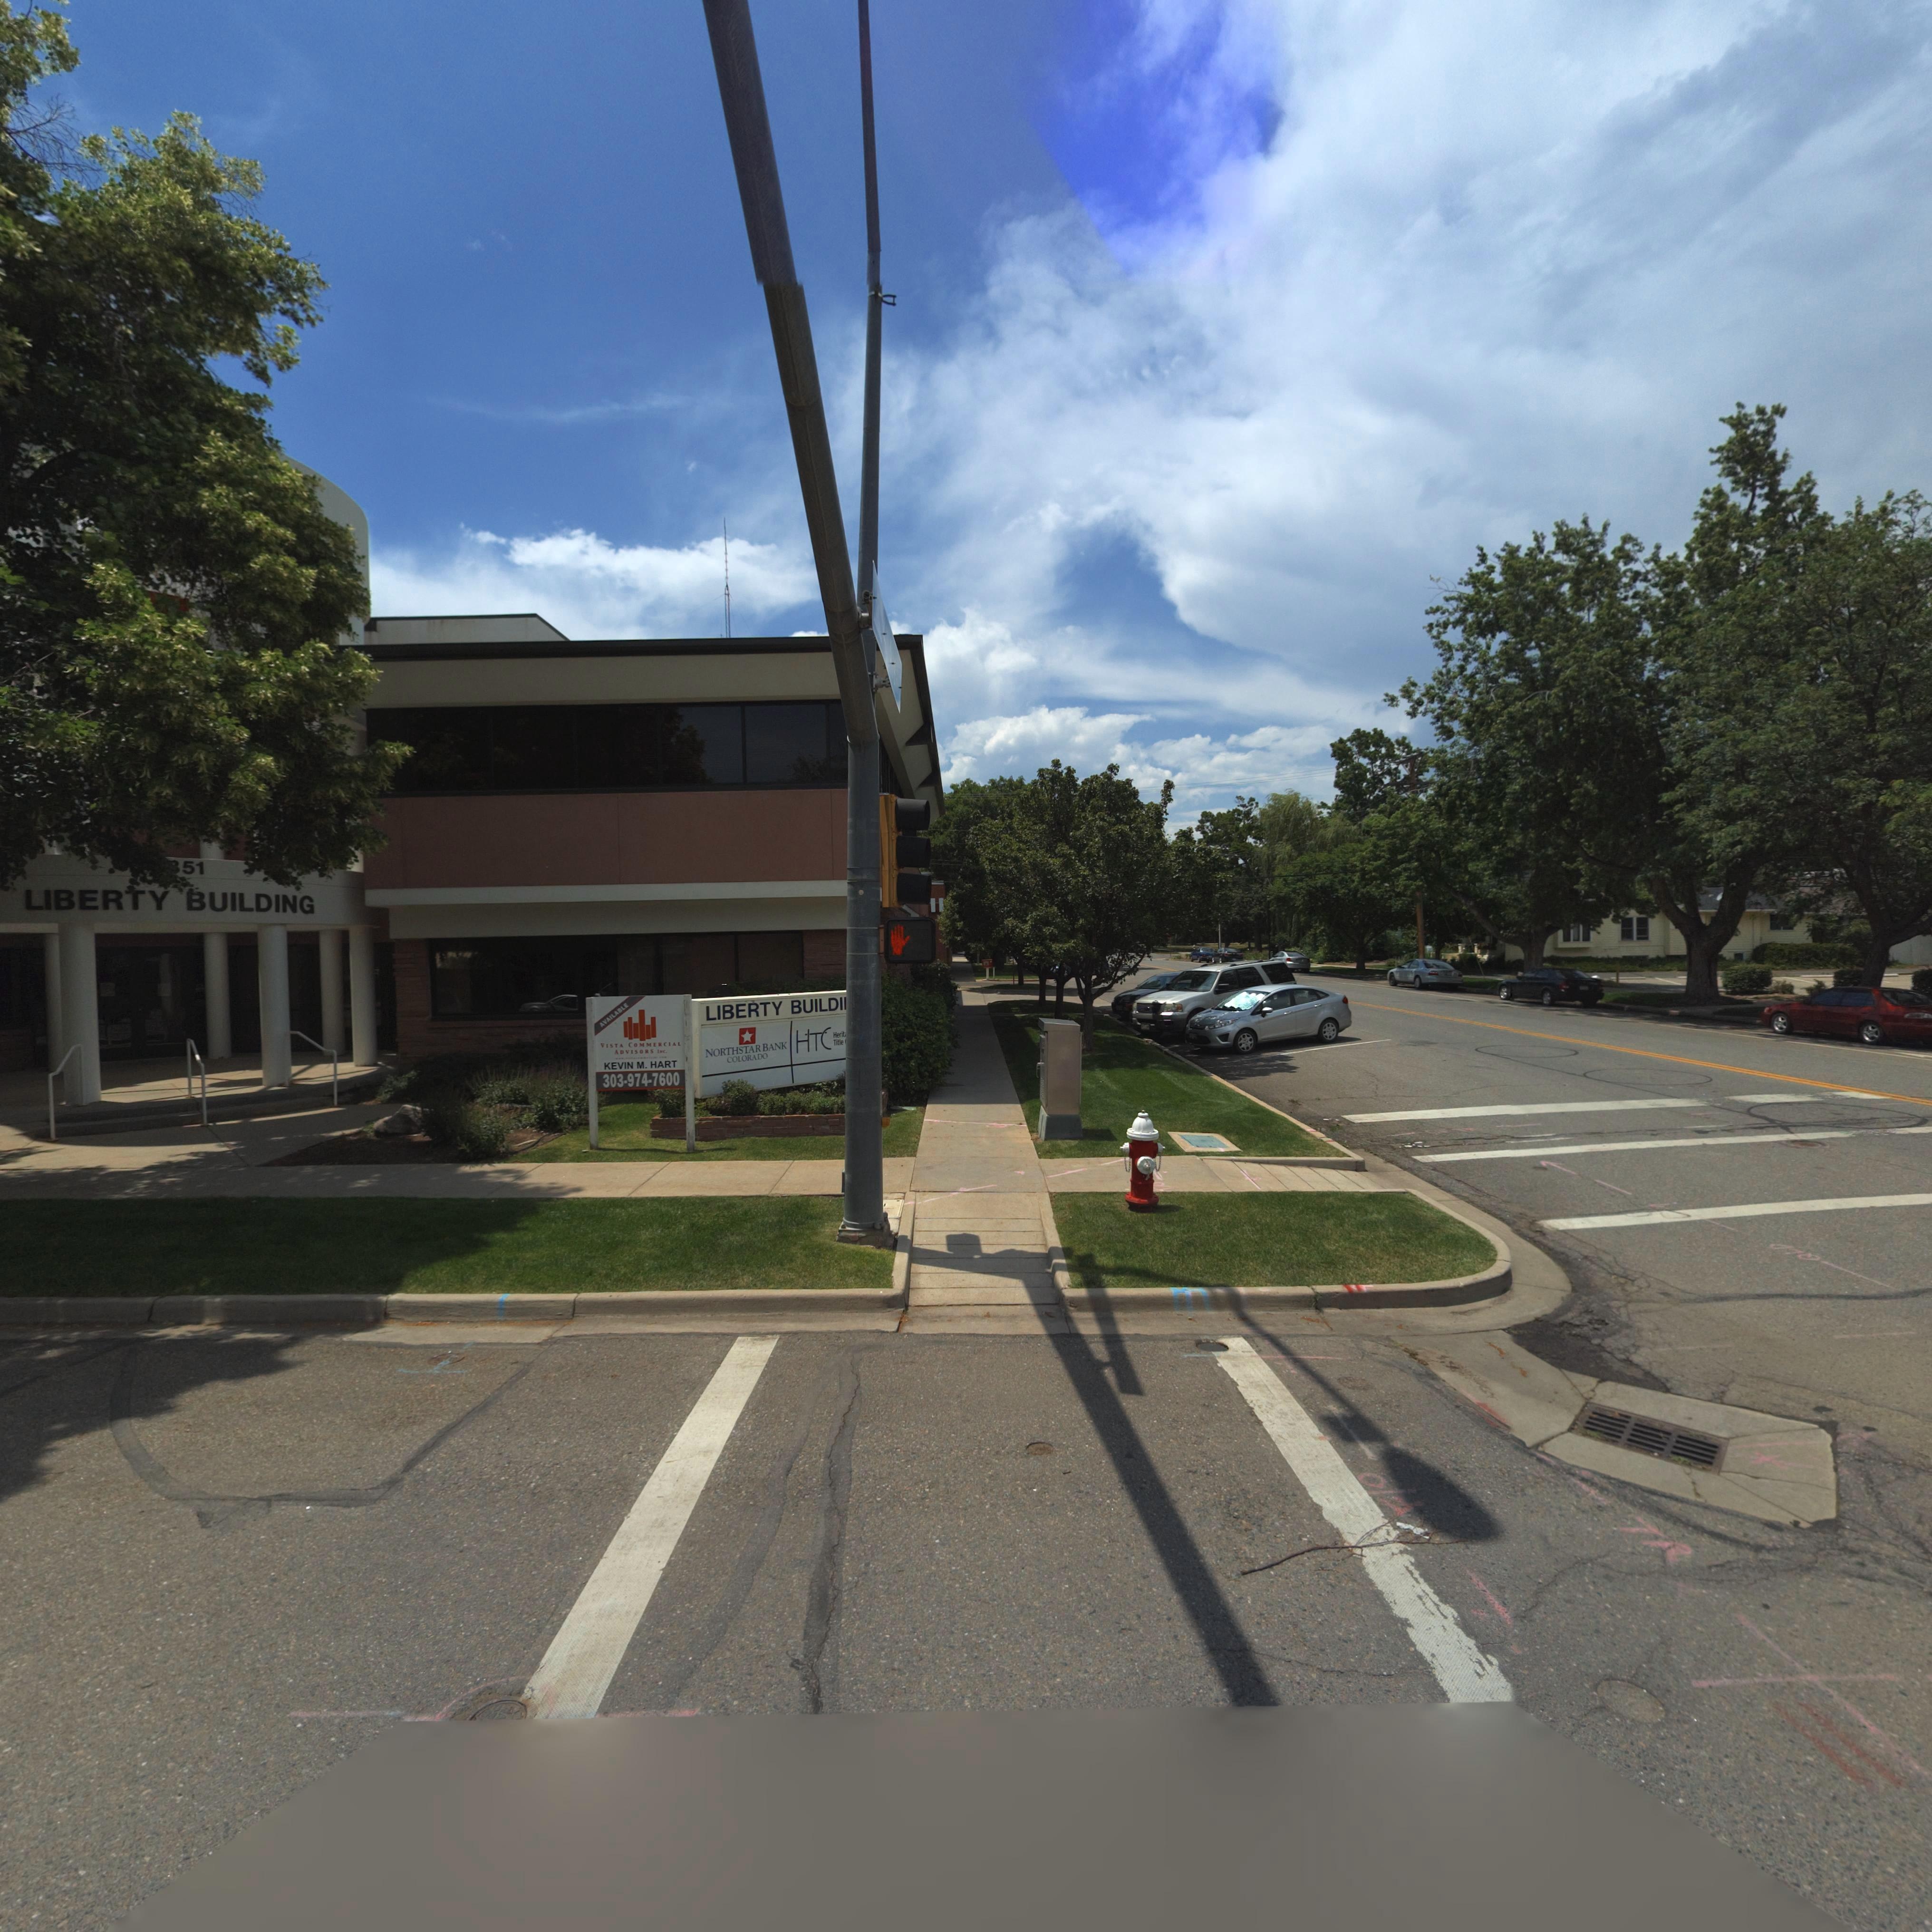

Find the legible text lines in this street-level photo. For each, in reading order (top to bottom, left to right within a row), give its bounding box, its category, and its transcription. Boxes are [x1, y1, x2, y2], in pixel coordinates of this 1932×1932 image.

[167, 860, 204, 875] StreetNumber: *51
[705, 1041, 787, 1058] BusinessName: NORTHSTAR BANK
[795, 1026, 832, 1053] BusinessName: HTC
[832, 1038, 844, 1046] BusinessName: Title
[833, 1031, 845, 1038] BusinessName: Herit
[726, 1053, 769, 1063] BusinessName: COLORADO